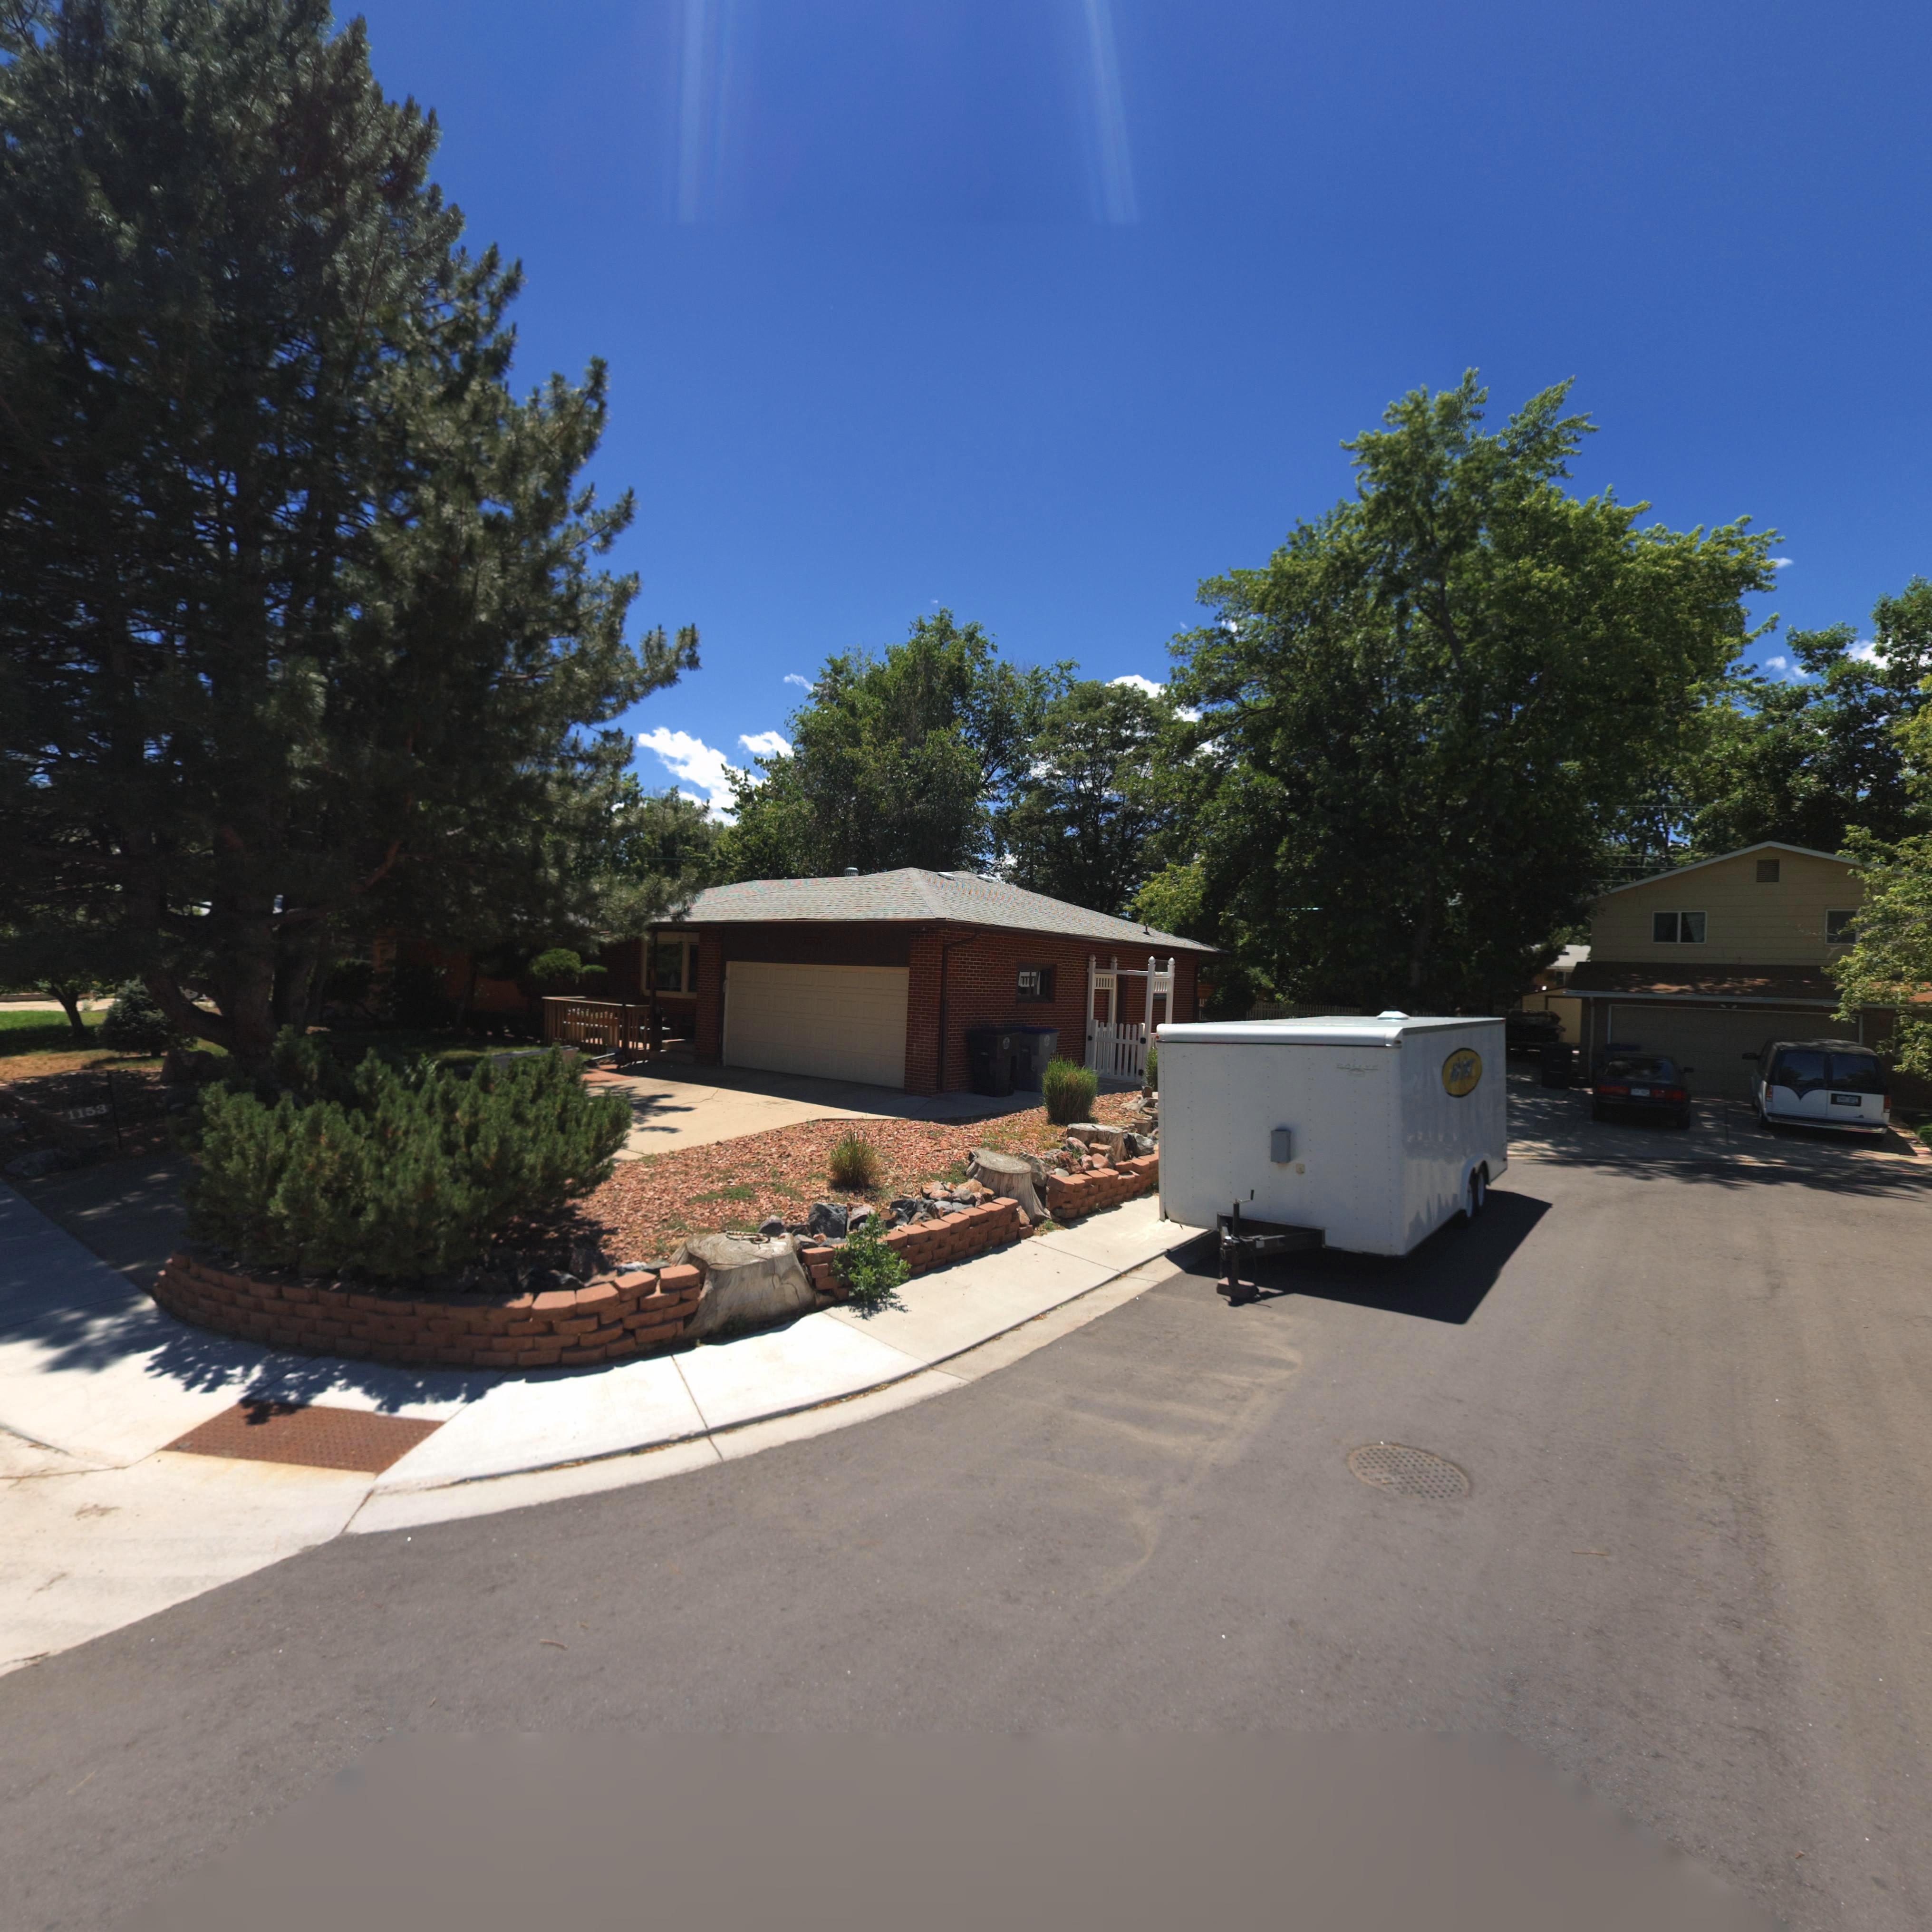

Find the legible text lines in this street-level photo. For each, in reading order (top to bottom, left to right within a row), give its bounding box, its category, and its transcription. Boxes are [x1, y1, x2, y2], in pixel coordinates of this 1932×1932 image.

[67, 1102, 107, 1121] StreetNumber: 1153